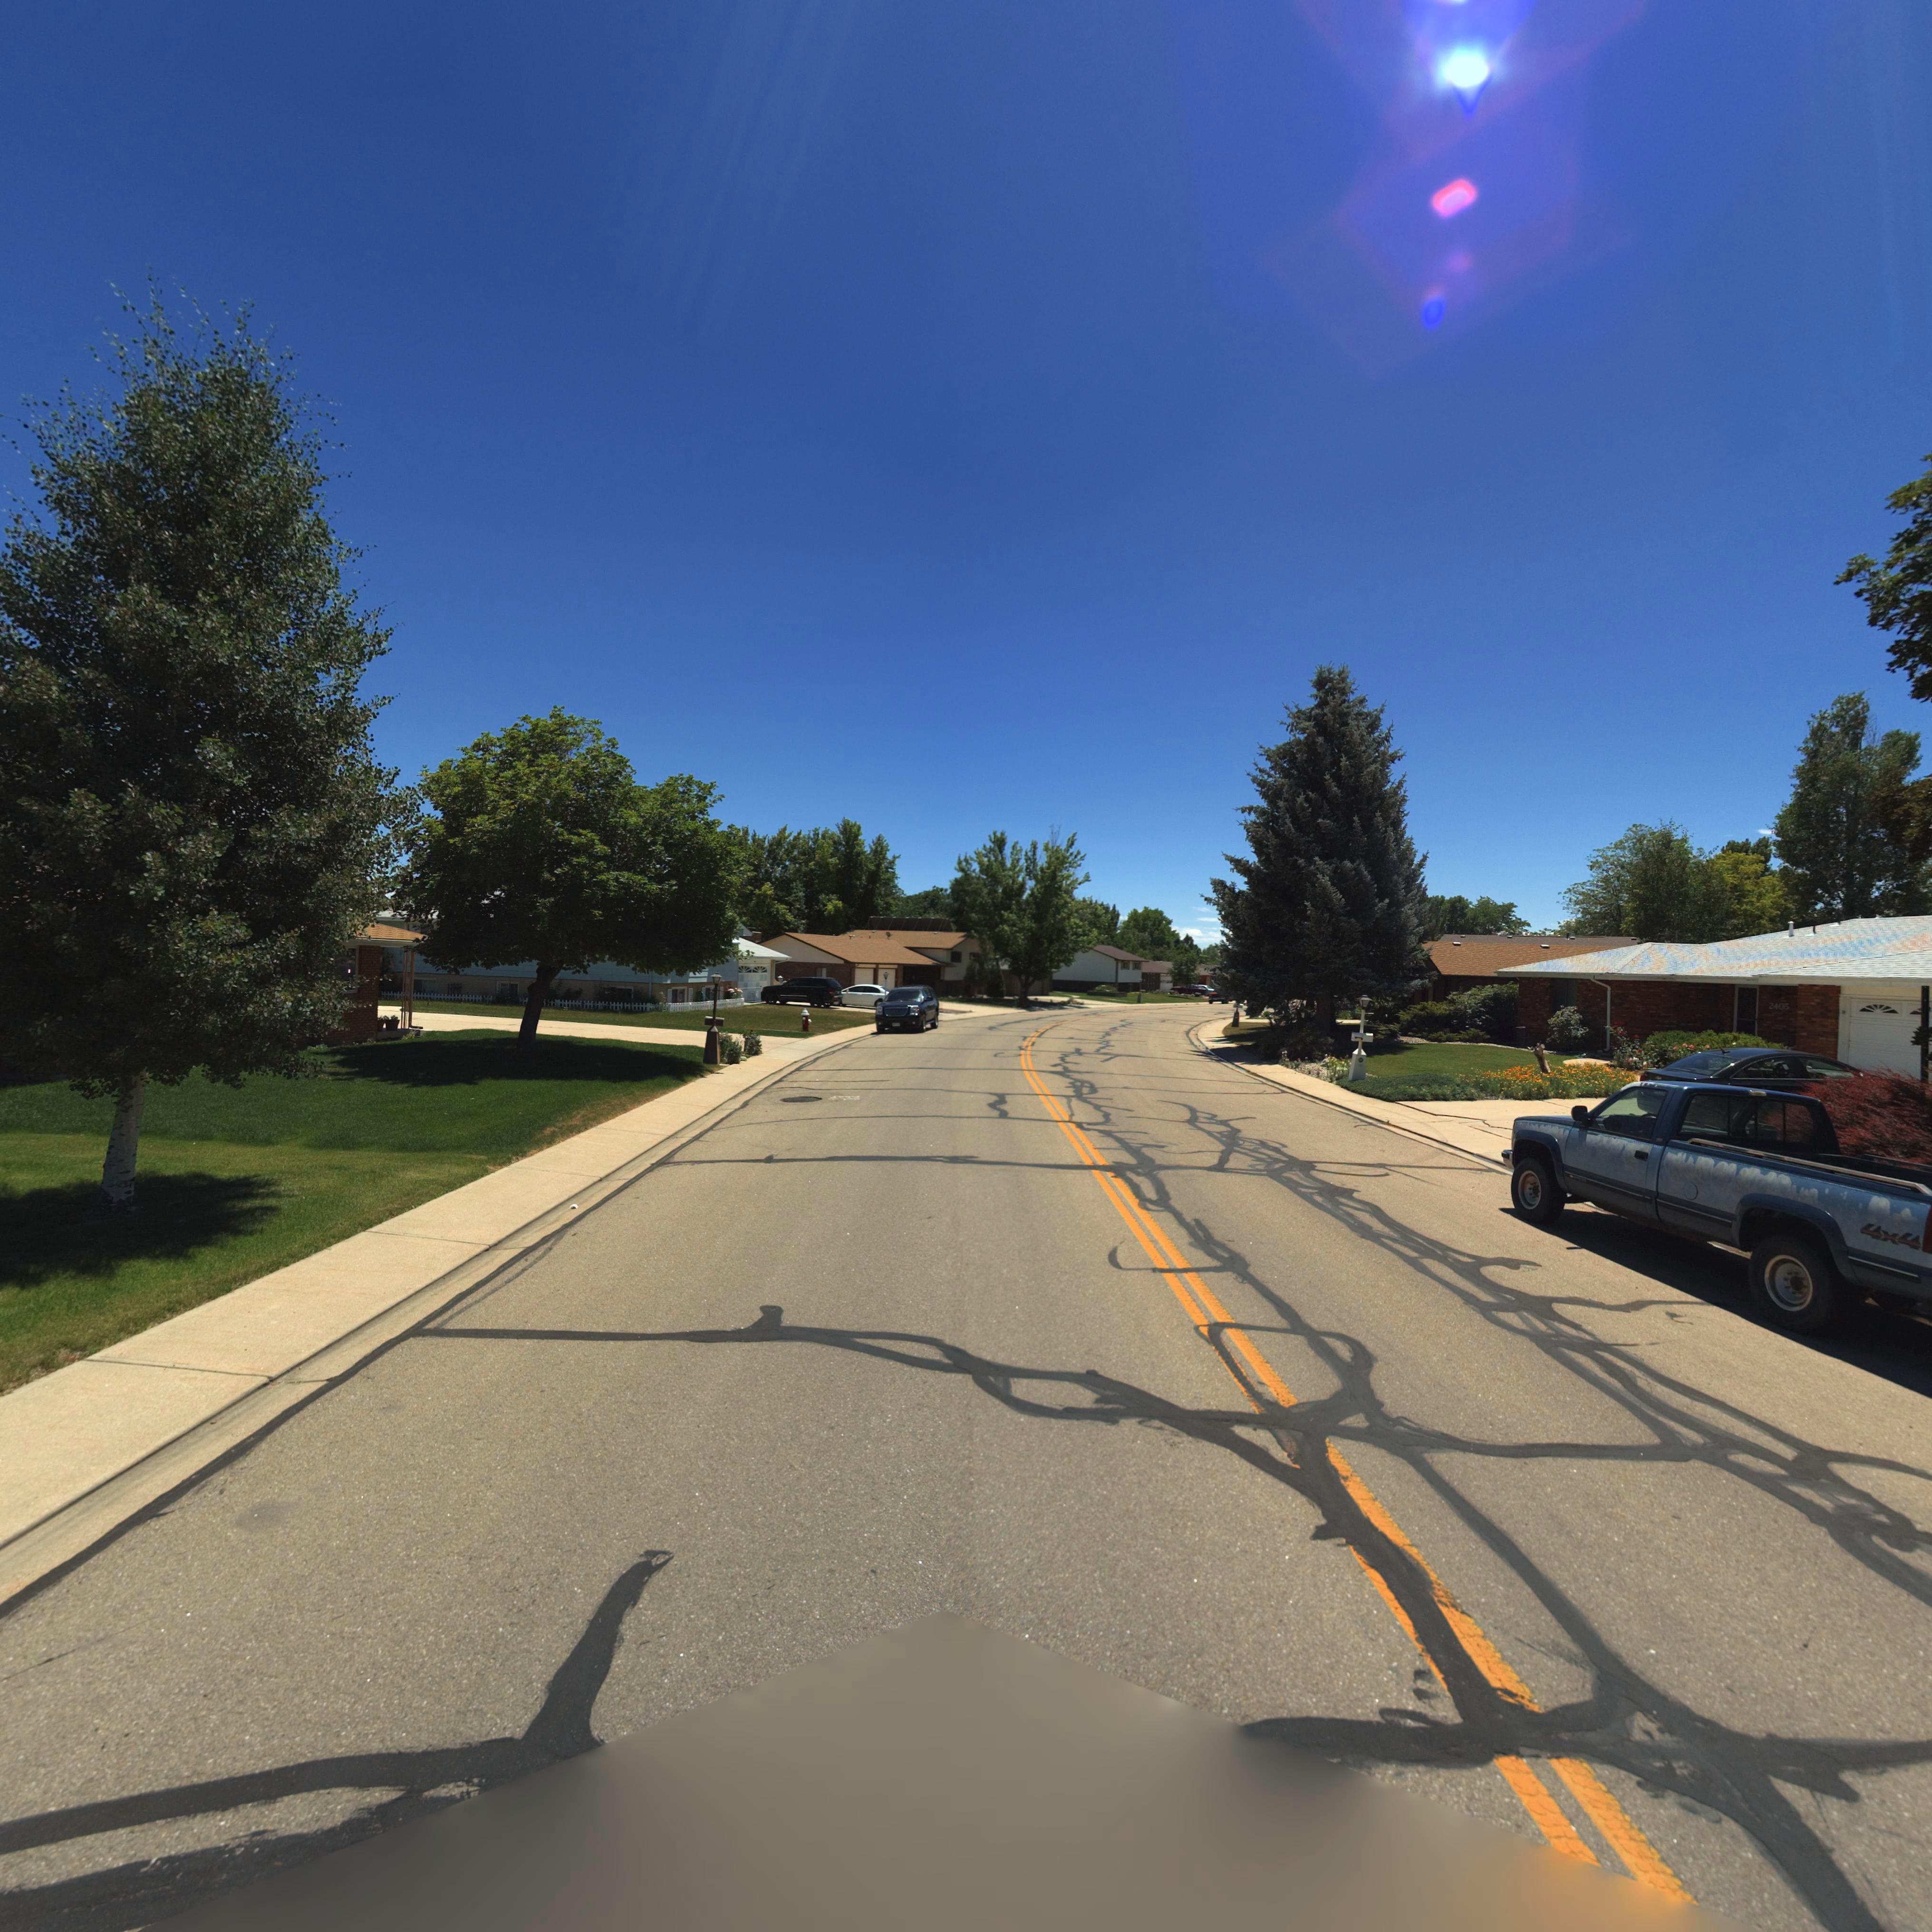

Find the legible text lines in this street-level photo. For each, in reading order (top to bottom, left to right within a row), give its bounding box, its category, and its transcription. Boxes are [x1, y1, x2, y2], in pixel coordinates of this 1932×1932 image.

[1768, 1002, 1789, 1010] StreetNumber: 2405